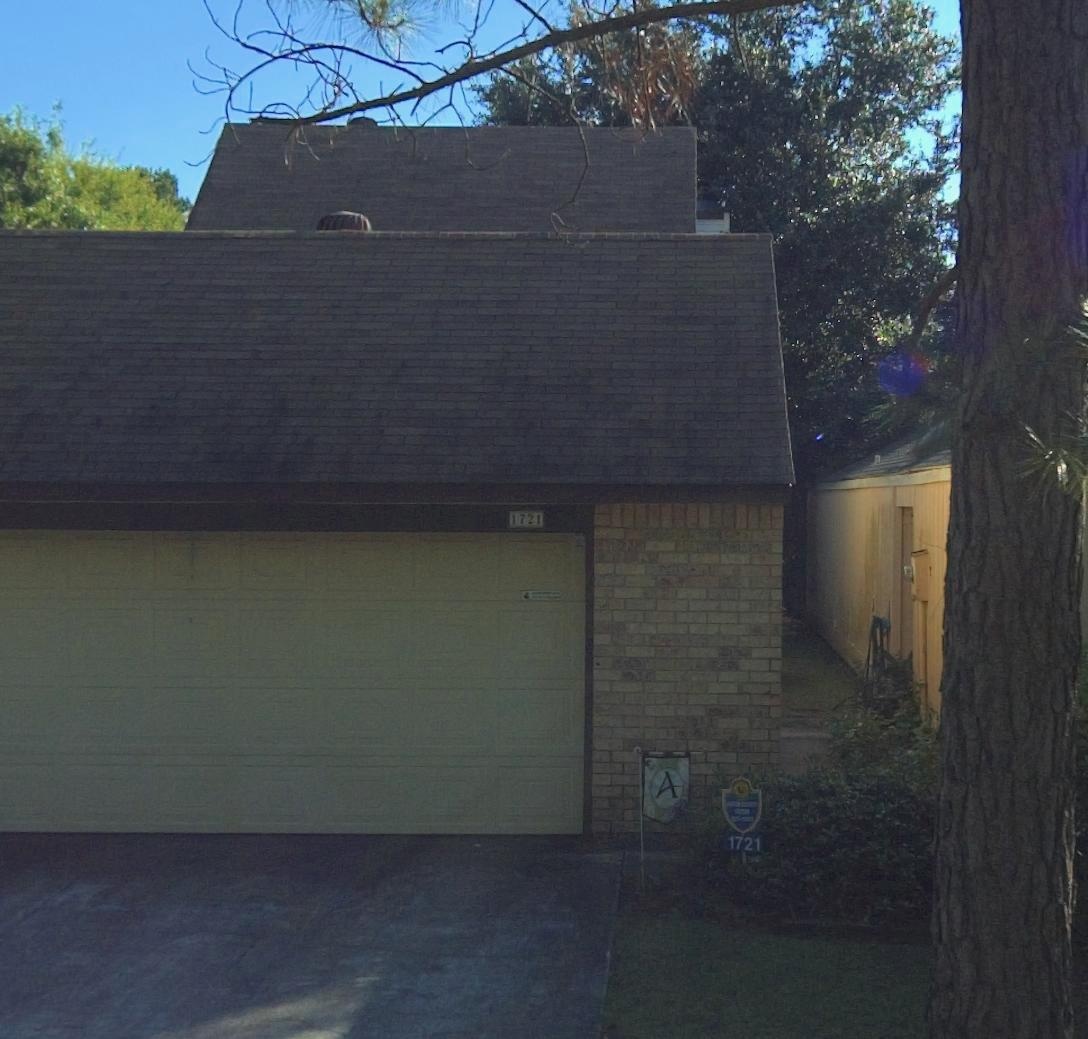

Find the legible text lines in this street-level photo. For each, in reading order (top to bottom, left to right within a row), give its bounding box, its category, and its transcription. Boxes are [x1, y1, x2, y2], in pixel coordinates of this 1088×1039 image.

[510, 511, 544, 527] StreetNumber: 1721
[653, 768, 682, 801] None: A
[725, 834, 763, 853] StreetNumber: 1721